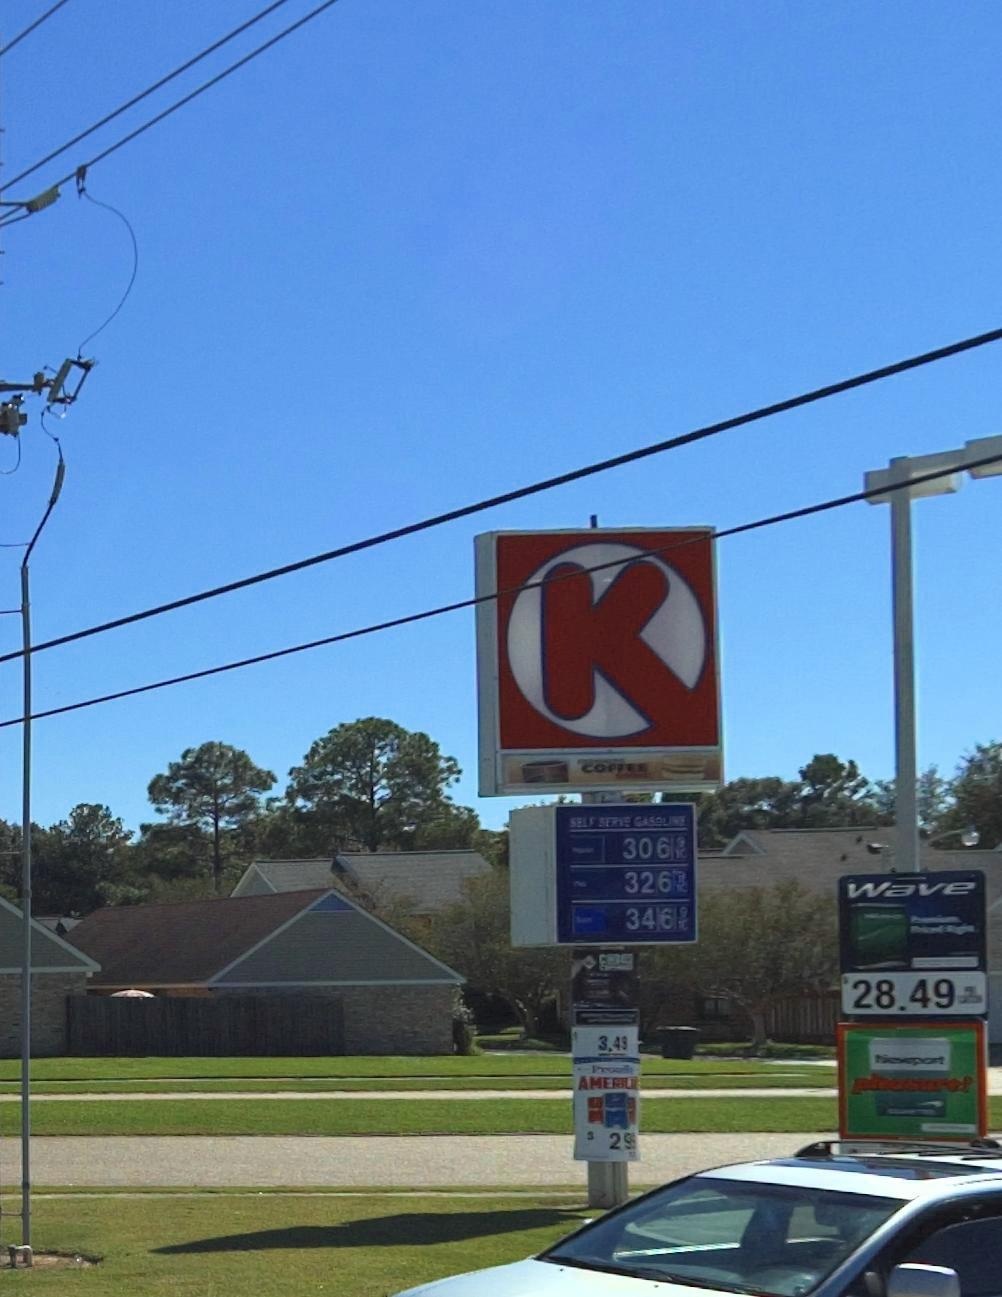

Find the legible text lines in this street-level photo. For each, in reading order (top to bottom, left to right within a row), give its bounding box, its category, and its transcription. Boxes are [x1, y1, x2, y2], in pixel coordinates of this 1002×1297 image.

[538, 555, 692, 723] BusinessName: K
[580, 762, 650, 774] None: COFFEE
[568, 814, 689, 829] None: SELF SE**E GASOLI**
[621, 835, 690, 861] None: 306 9/10
[622, 869, 673, 894] None: 326
[845, 879, 977, 901] None: Wave
[624, 904, 690, 931] None: 34609/10
[851, 977, 958, 1010] None: 28.49
[596, 1034, 629, 1052] None: 3.49
[874, 1052, 947, 1067] None: N**port
[577, 1076, 637, 1093] None: AME****
[851, 1072, 974, 1096] None: pl*asure!
[608, 1131, 634, 1151] None: 29